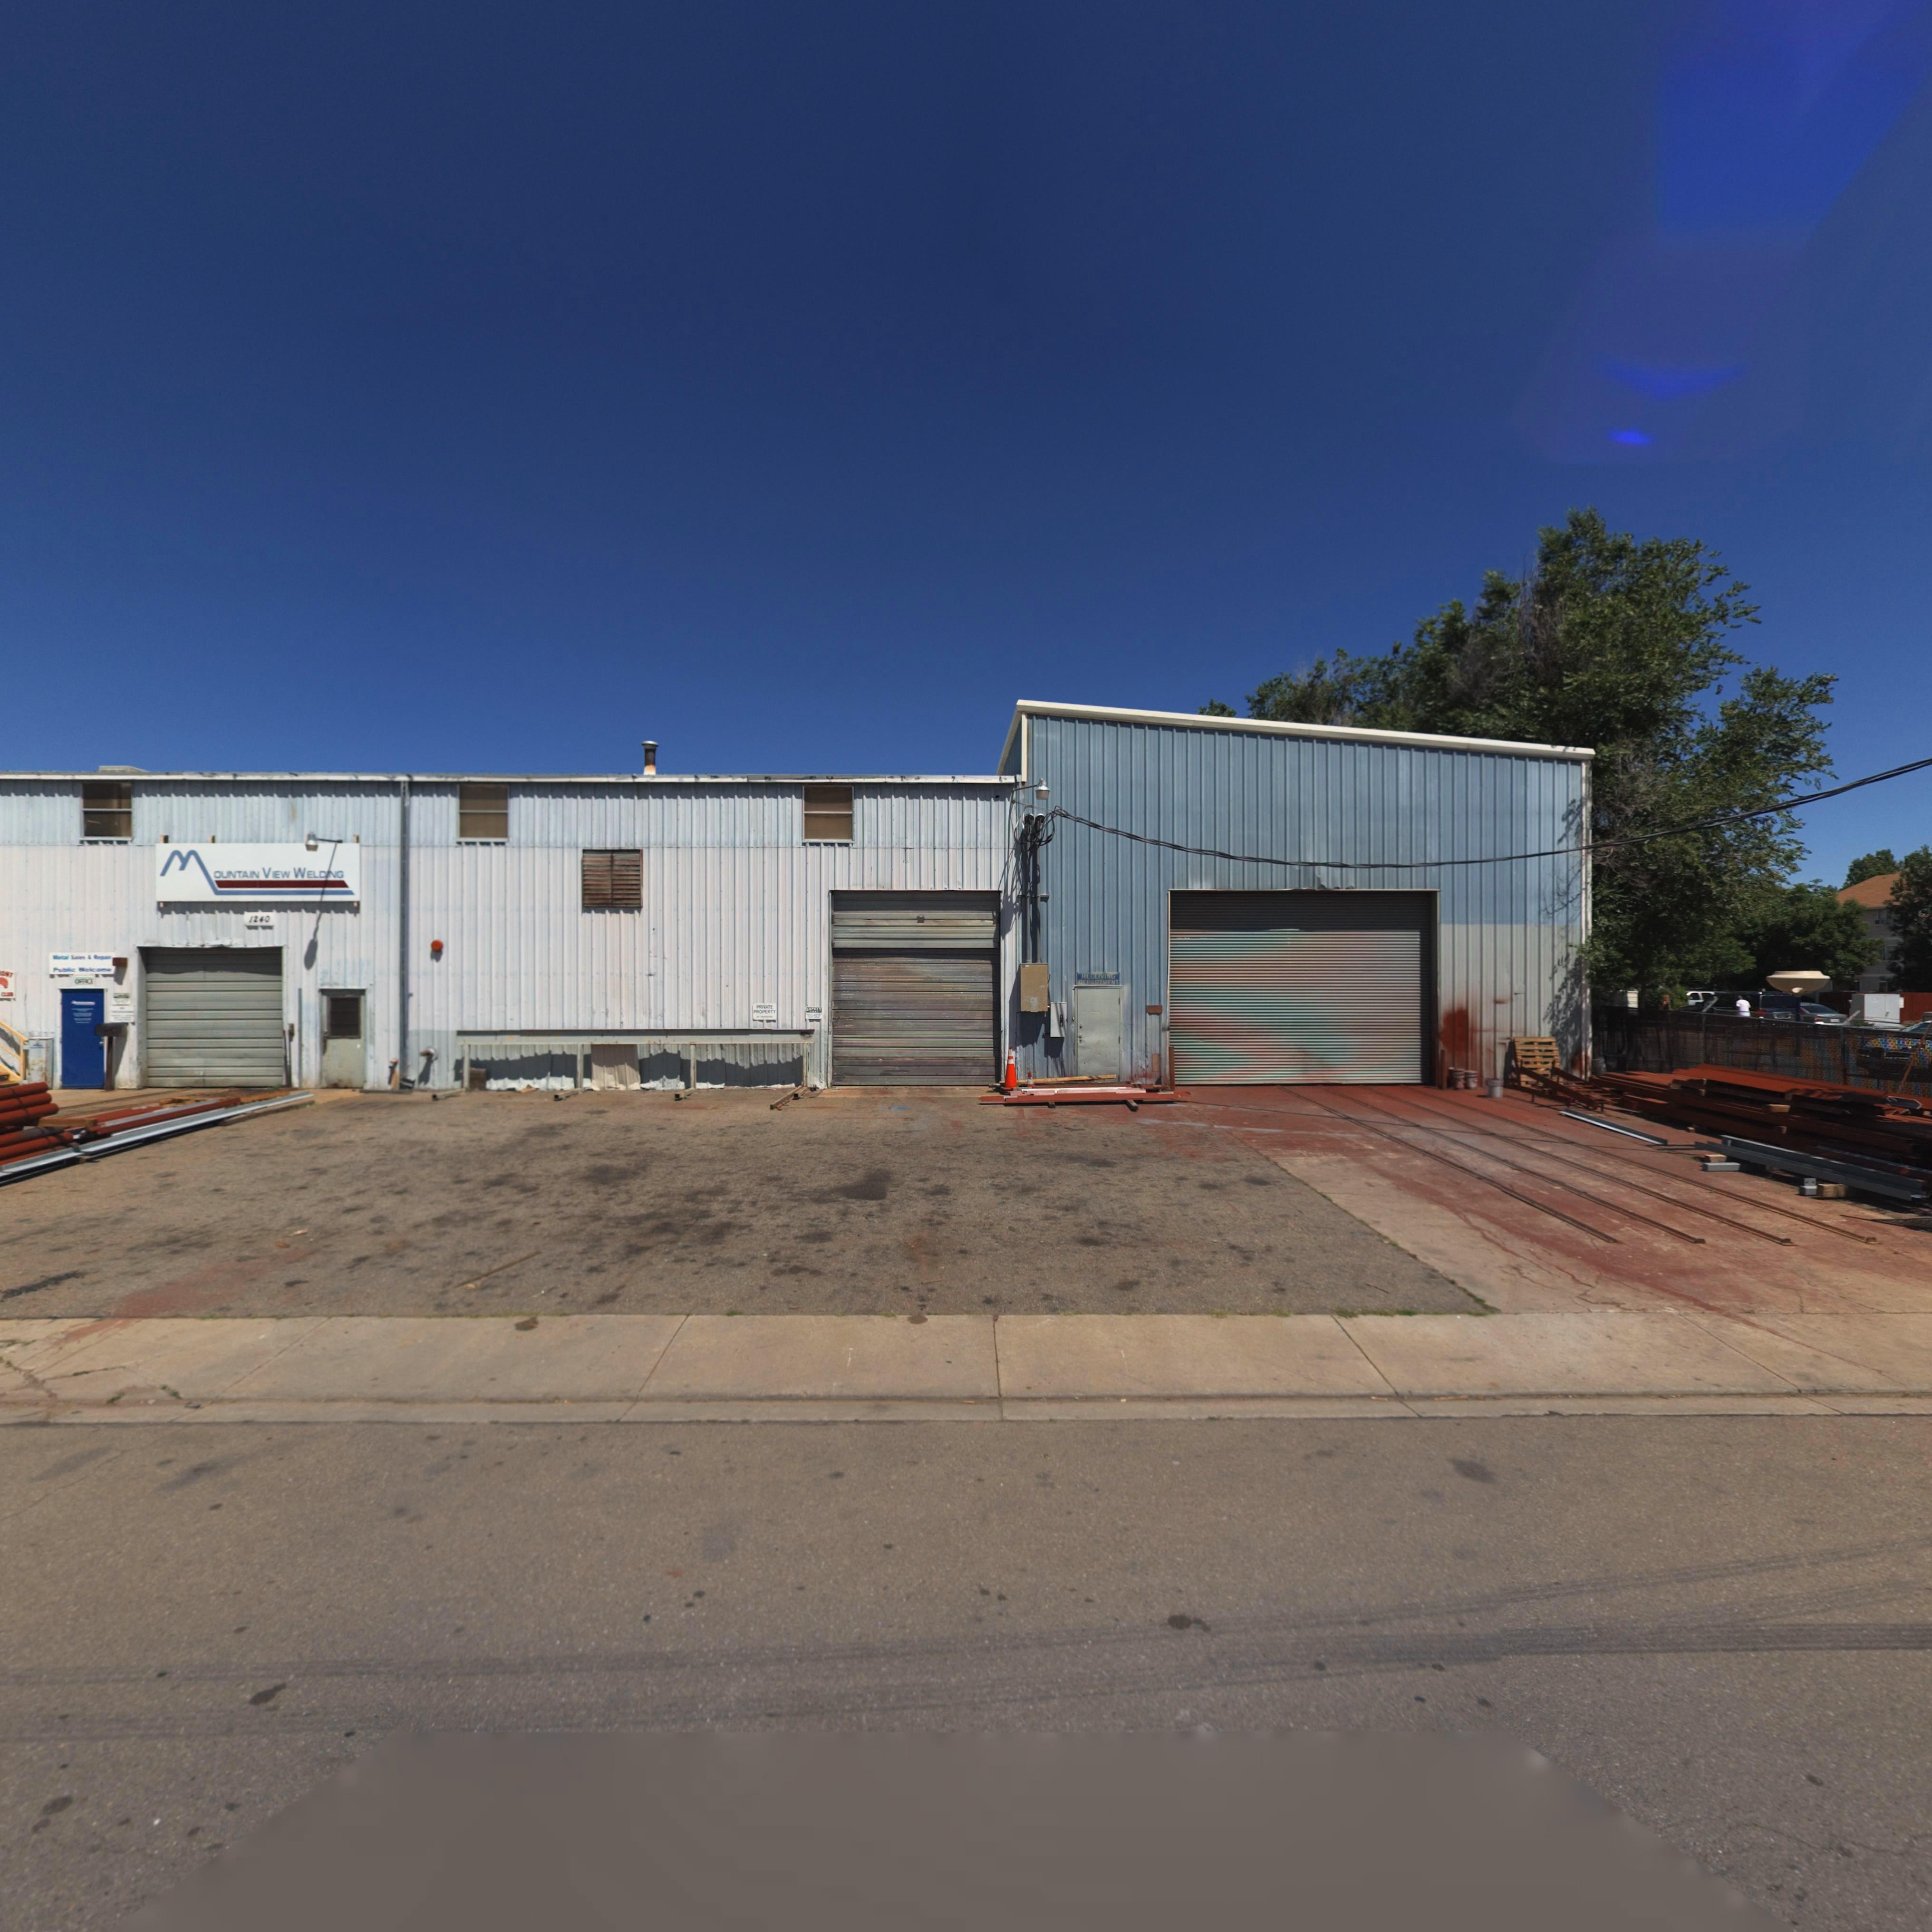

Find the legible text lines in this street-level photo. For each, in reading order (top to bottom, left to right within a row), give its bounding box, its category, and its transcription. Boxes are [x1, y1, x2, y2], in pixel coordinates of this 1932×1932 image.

[213, 866, 344, 879] BusinessName: OUNTAIN VIEW WELD*NG
[248, 915, 270, 923] StreetNumber: 1240